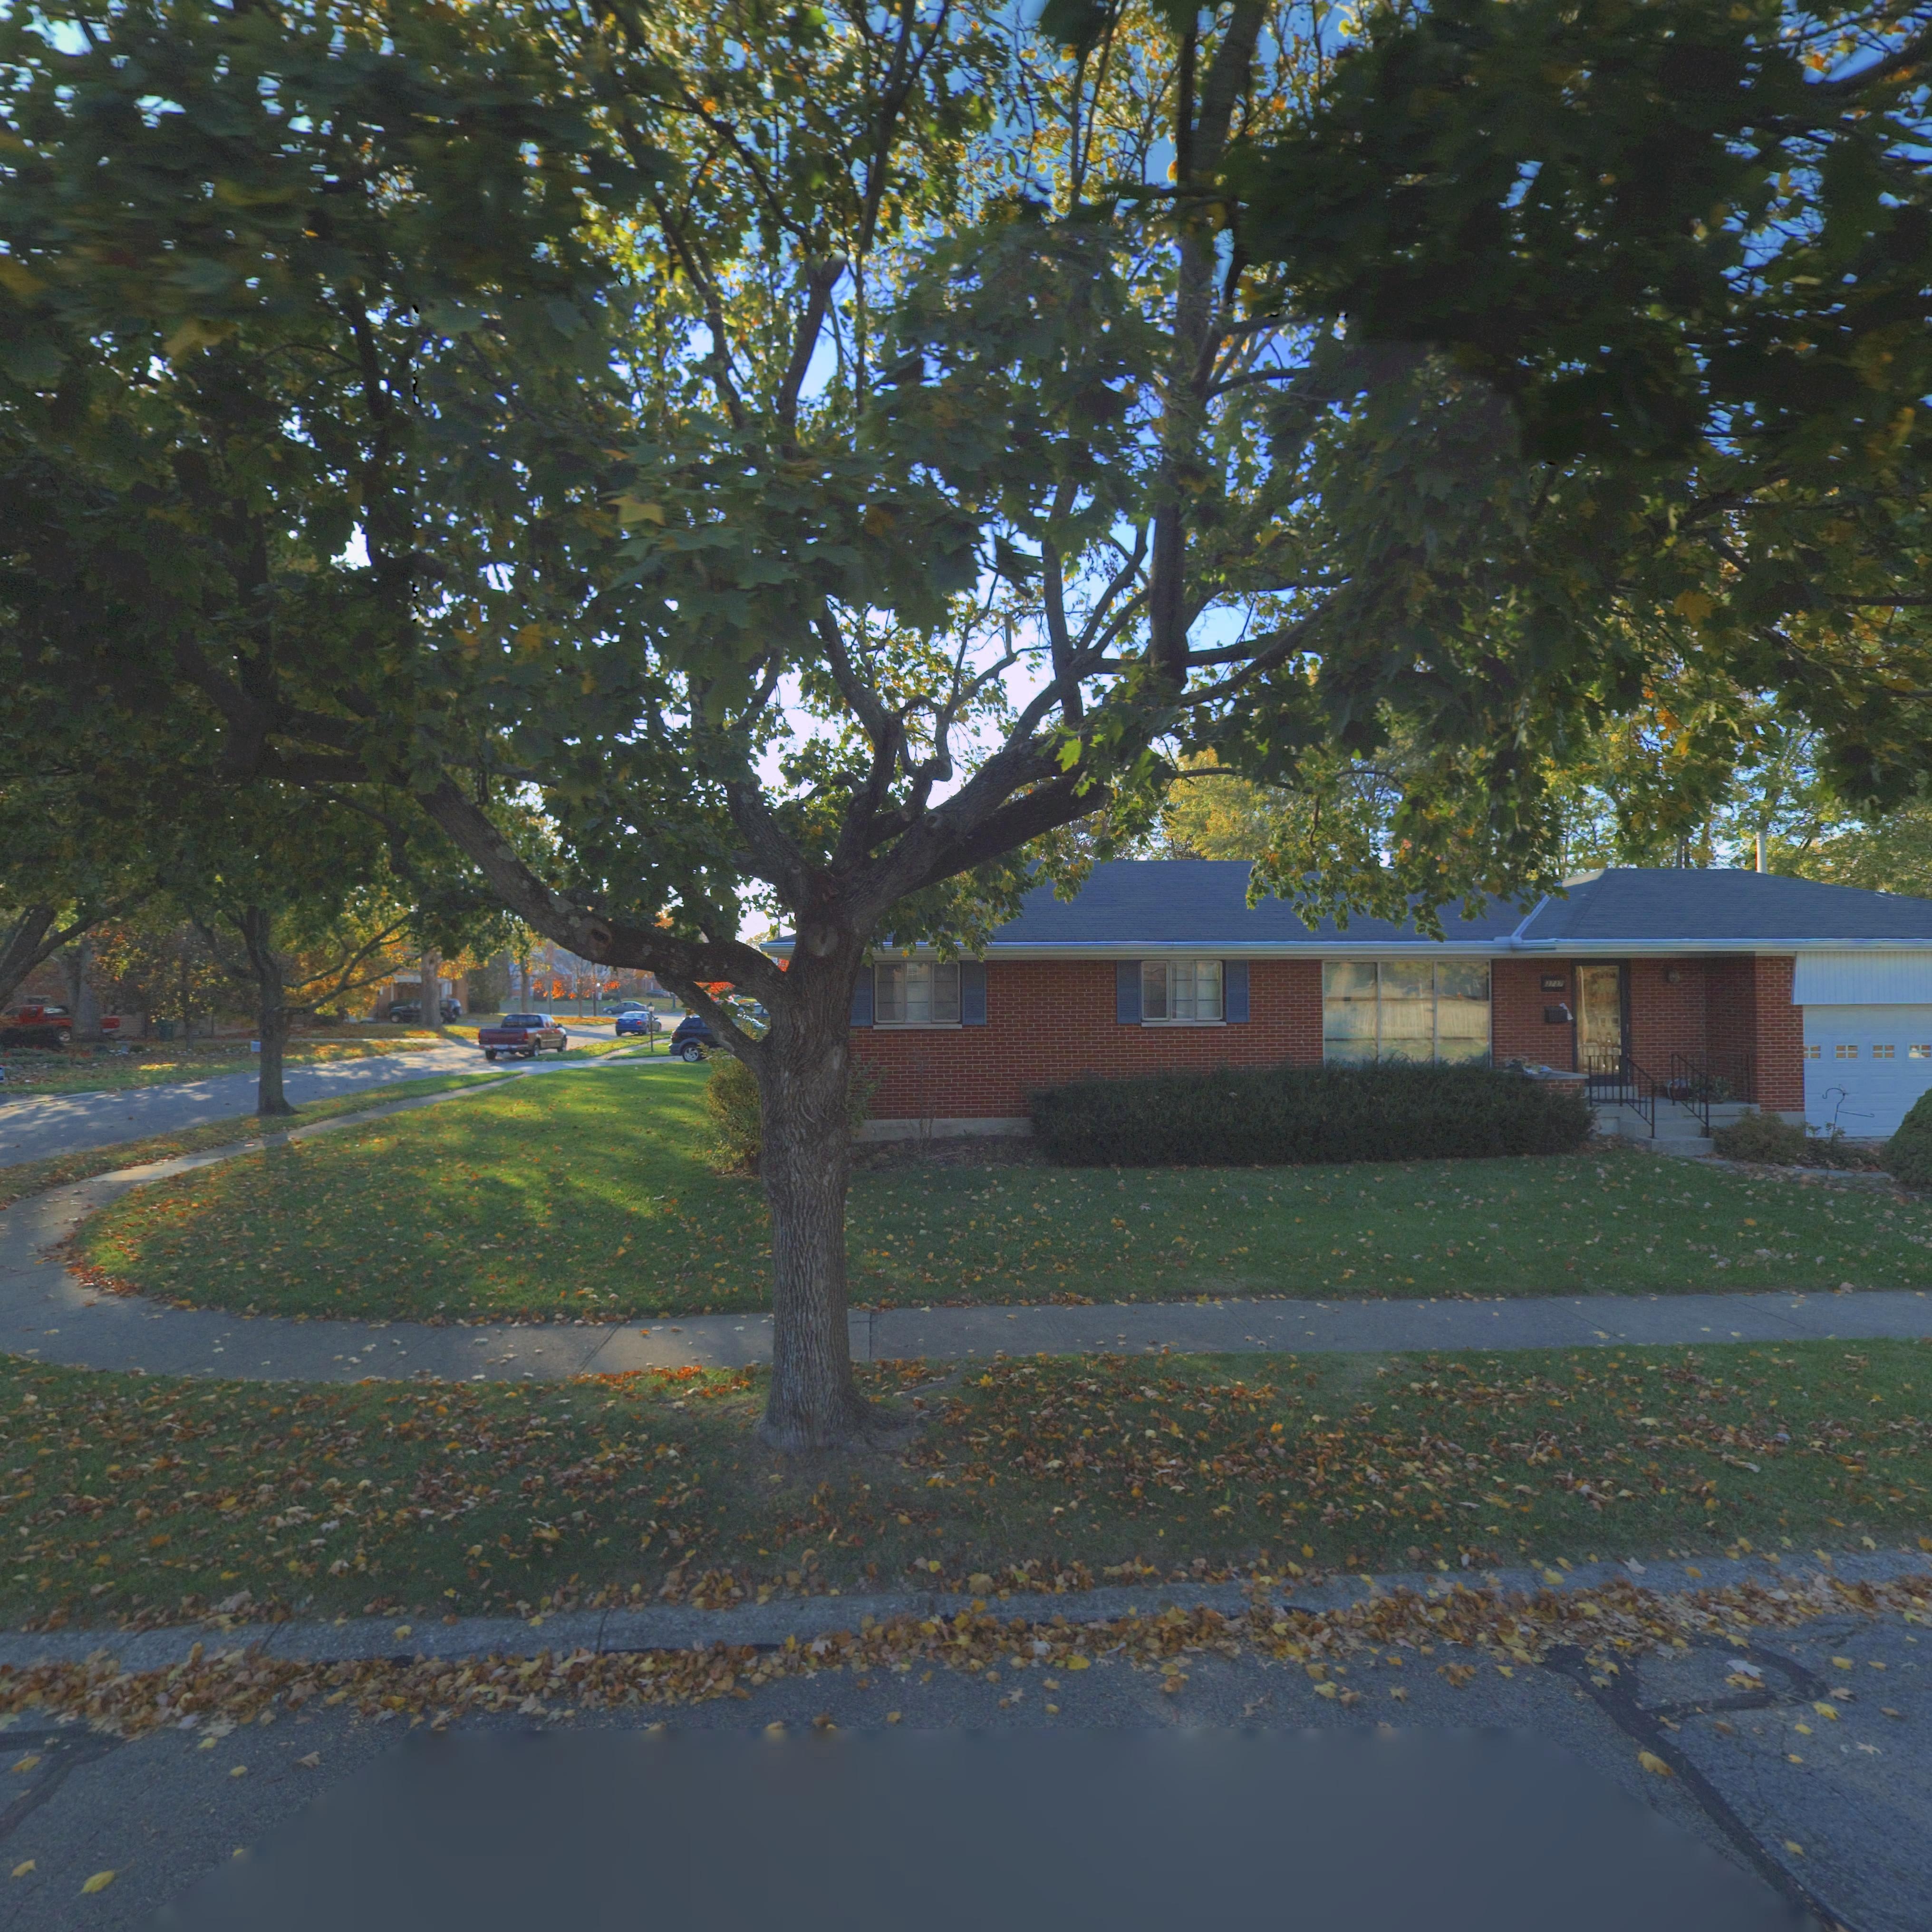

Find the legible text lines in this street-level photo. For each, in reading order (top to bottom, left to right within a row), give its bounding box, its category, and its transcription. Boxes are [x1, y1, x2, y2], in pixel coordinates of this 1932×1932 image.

[1544, 980, 1564, 987] StreetNumber: 37*7